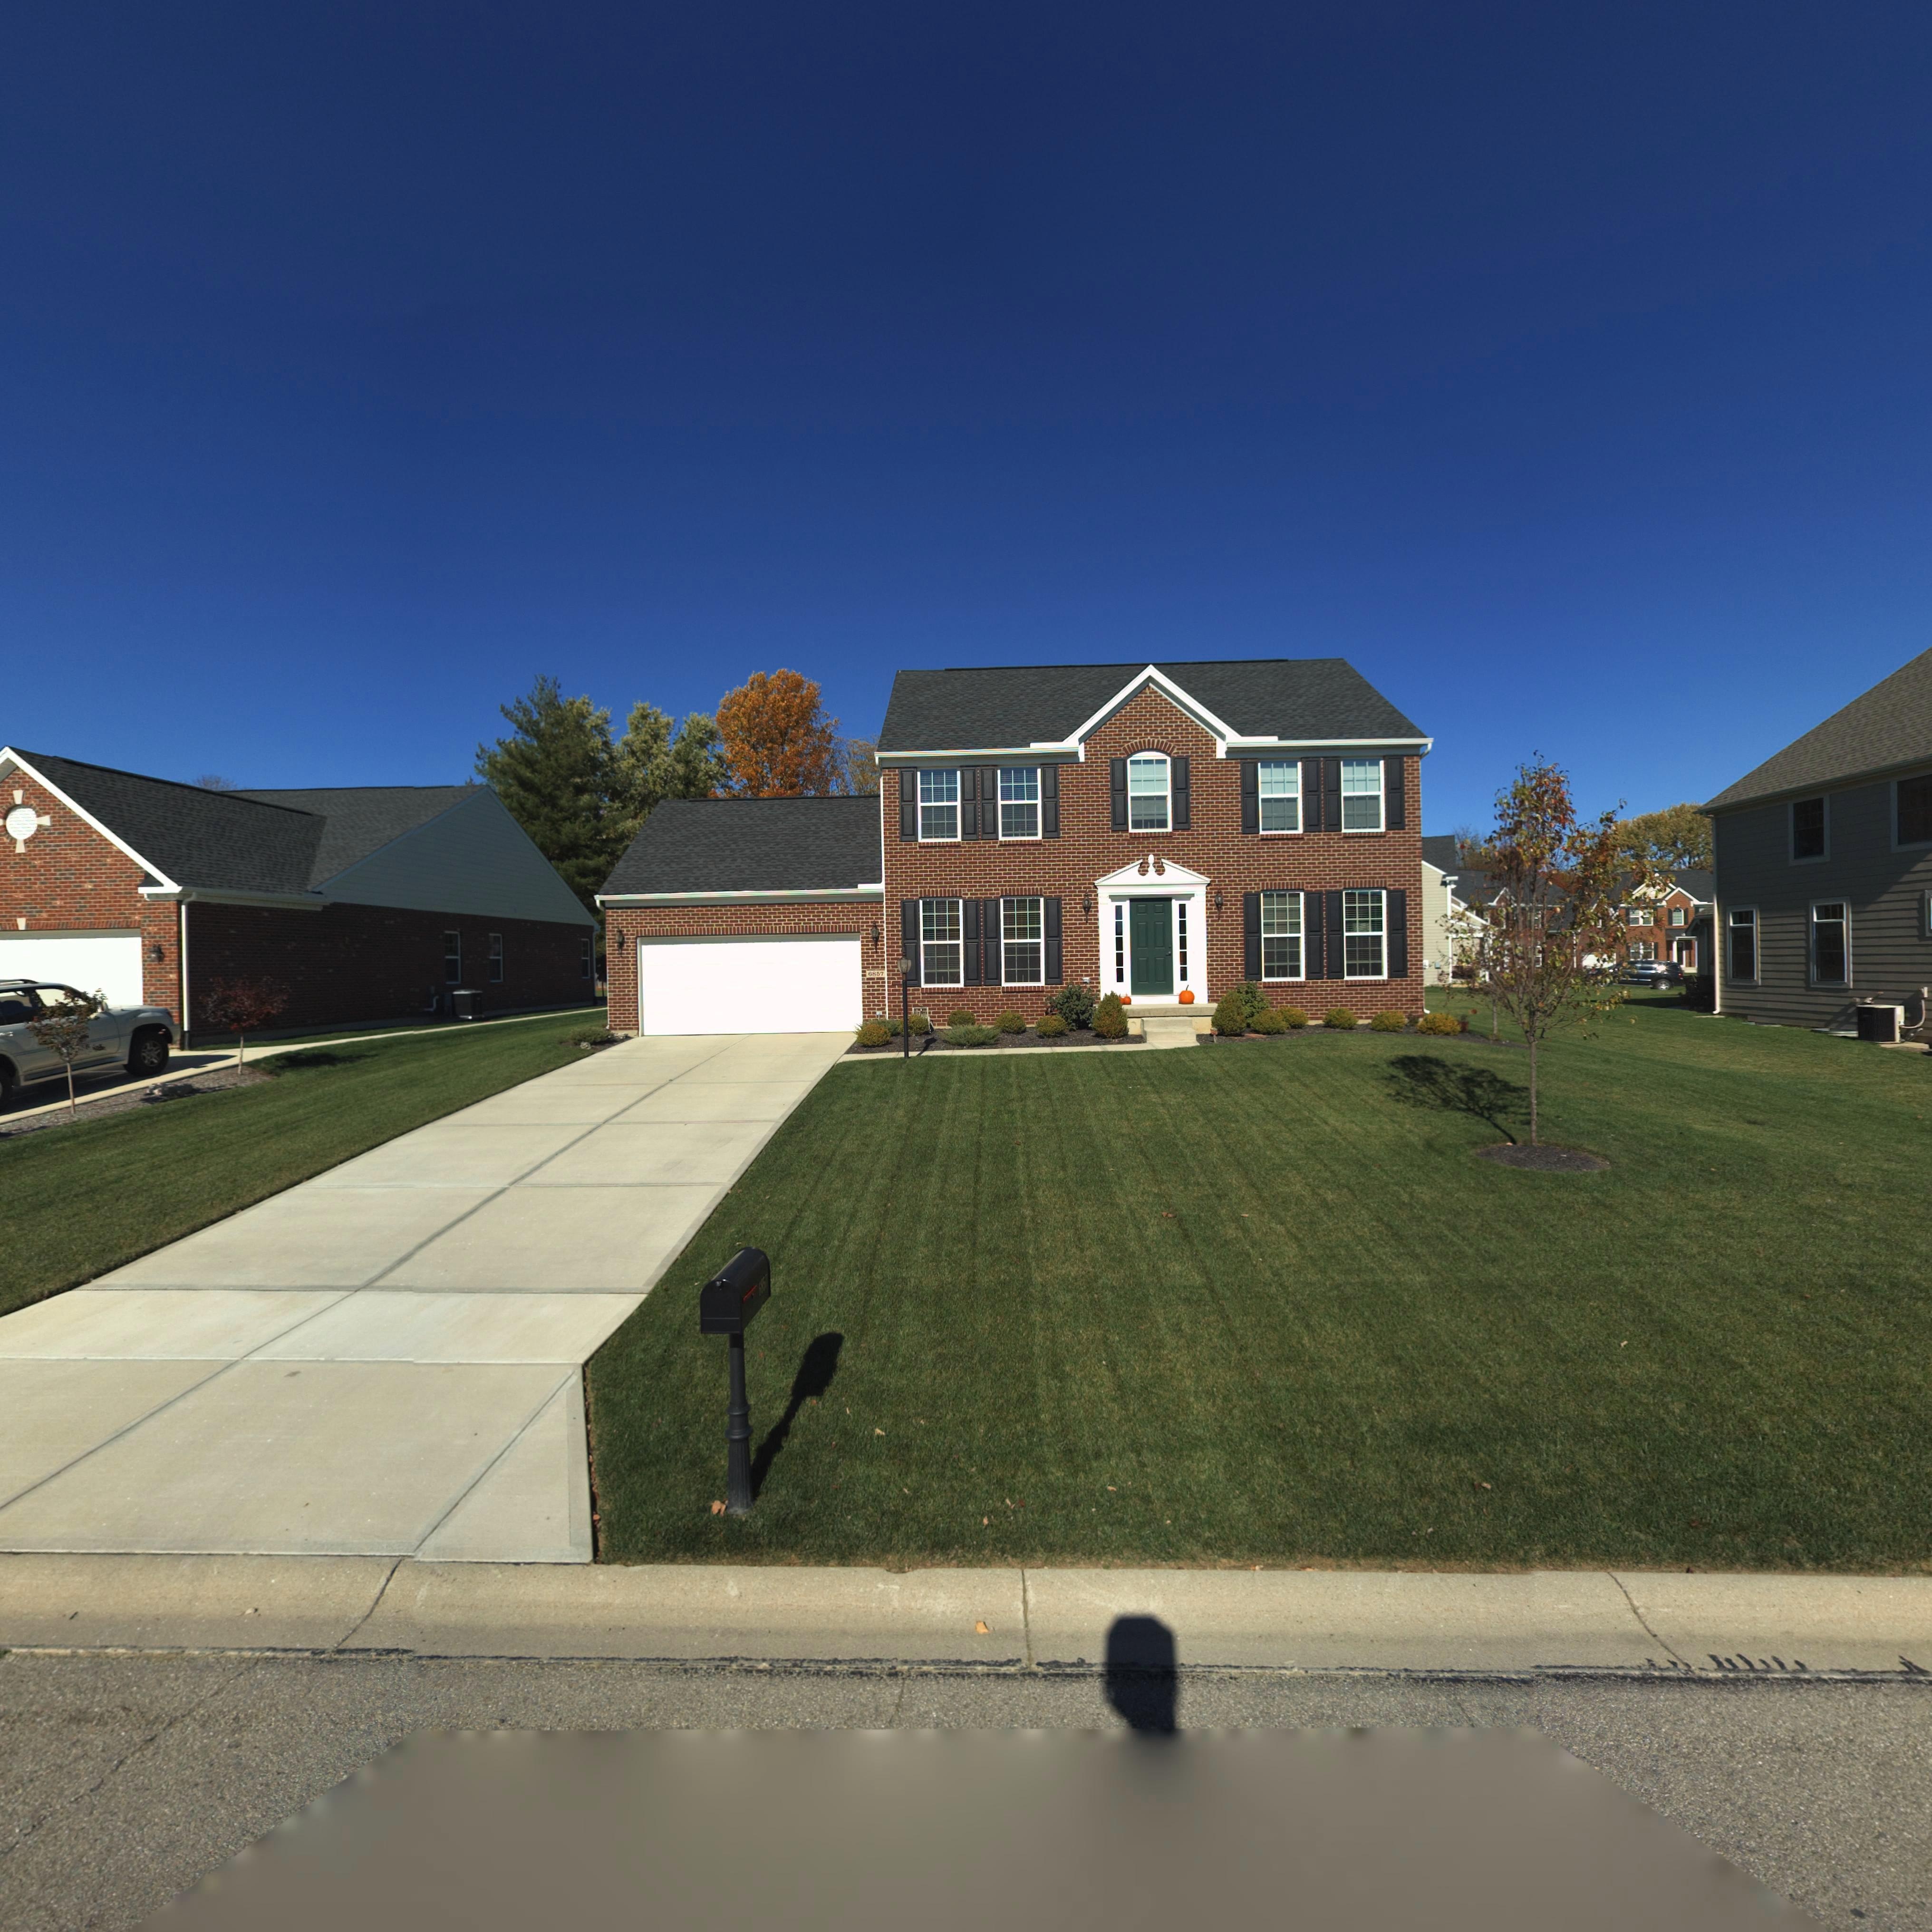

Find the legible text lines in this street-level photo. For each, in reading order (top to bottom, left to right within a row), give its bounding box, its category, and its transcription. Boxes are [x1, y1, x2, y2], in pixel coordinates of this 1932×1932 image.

[867, 970, 885, 977] StreetNumber: 6857